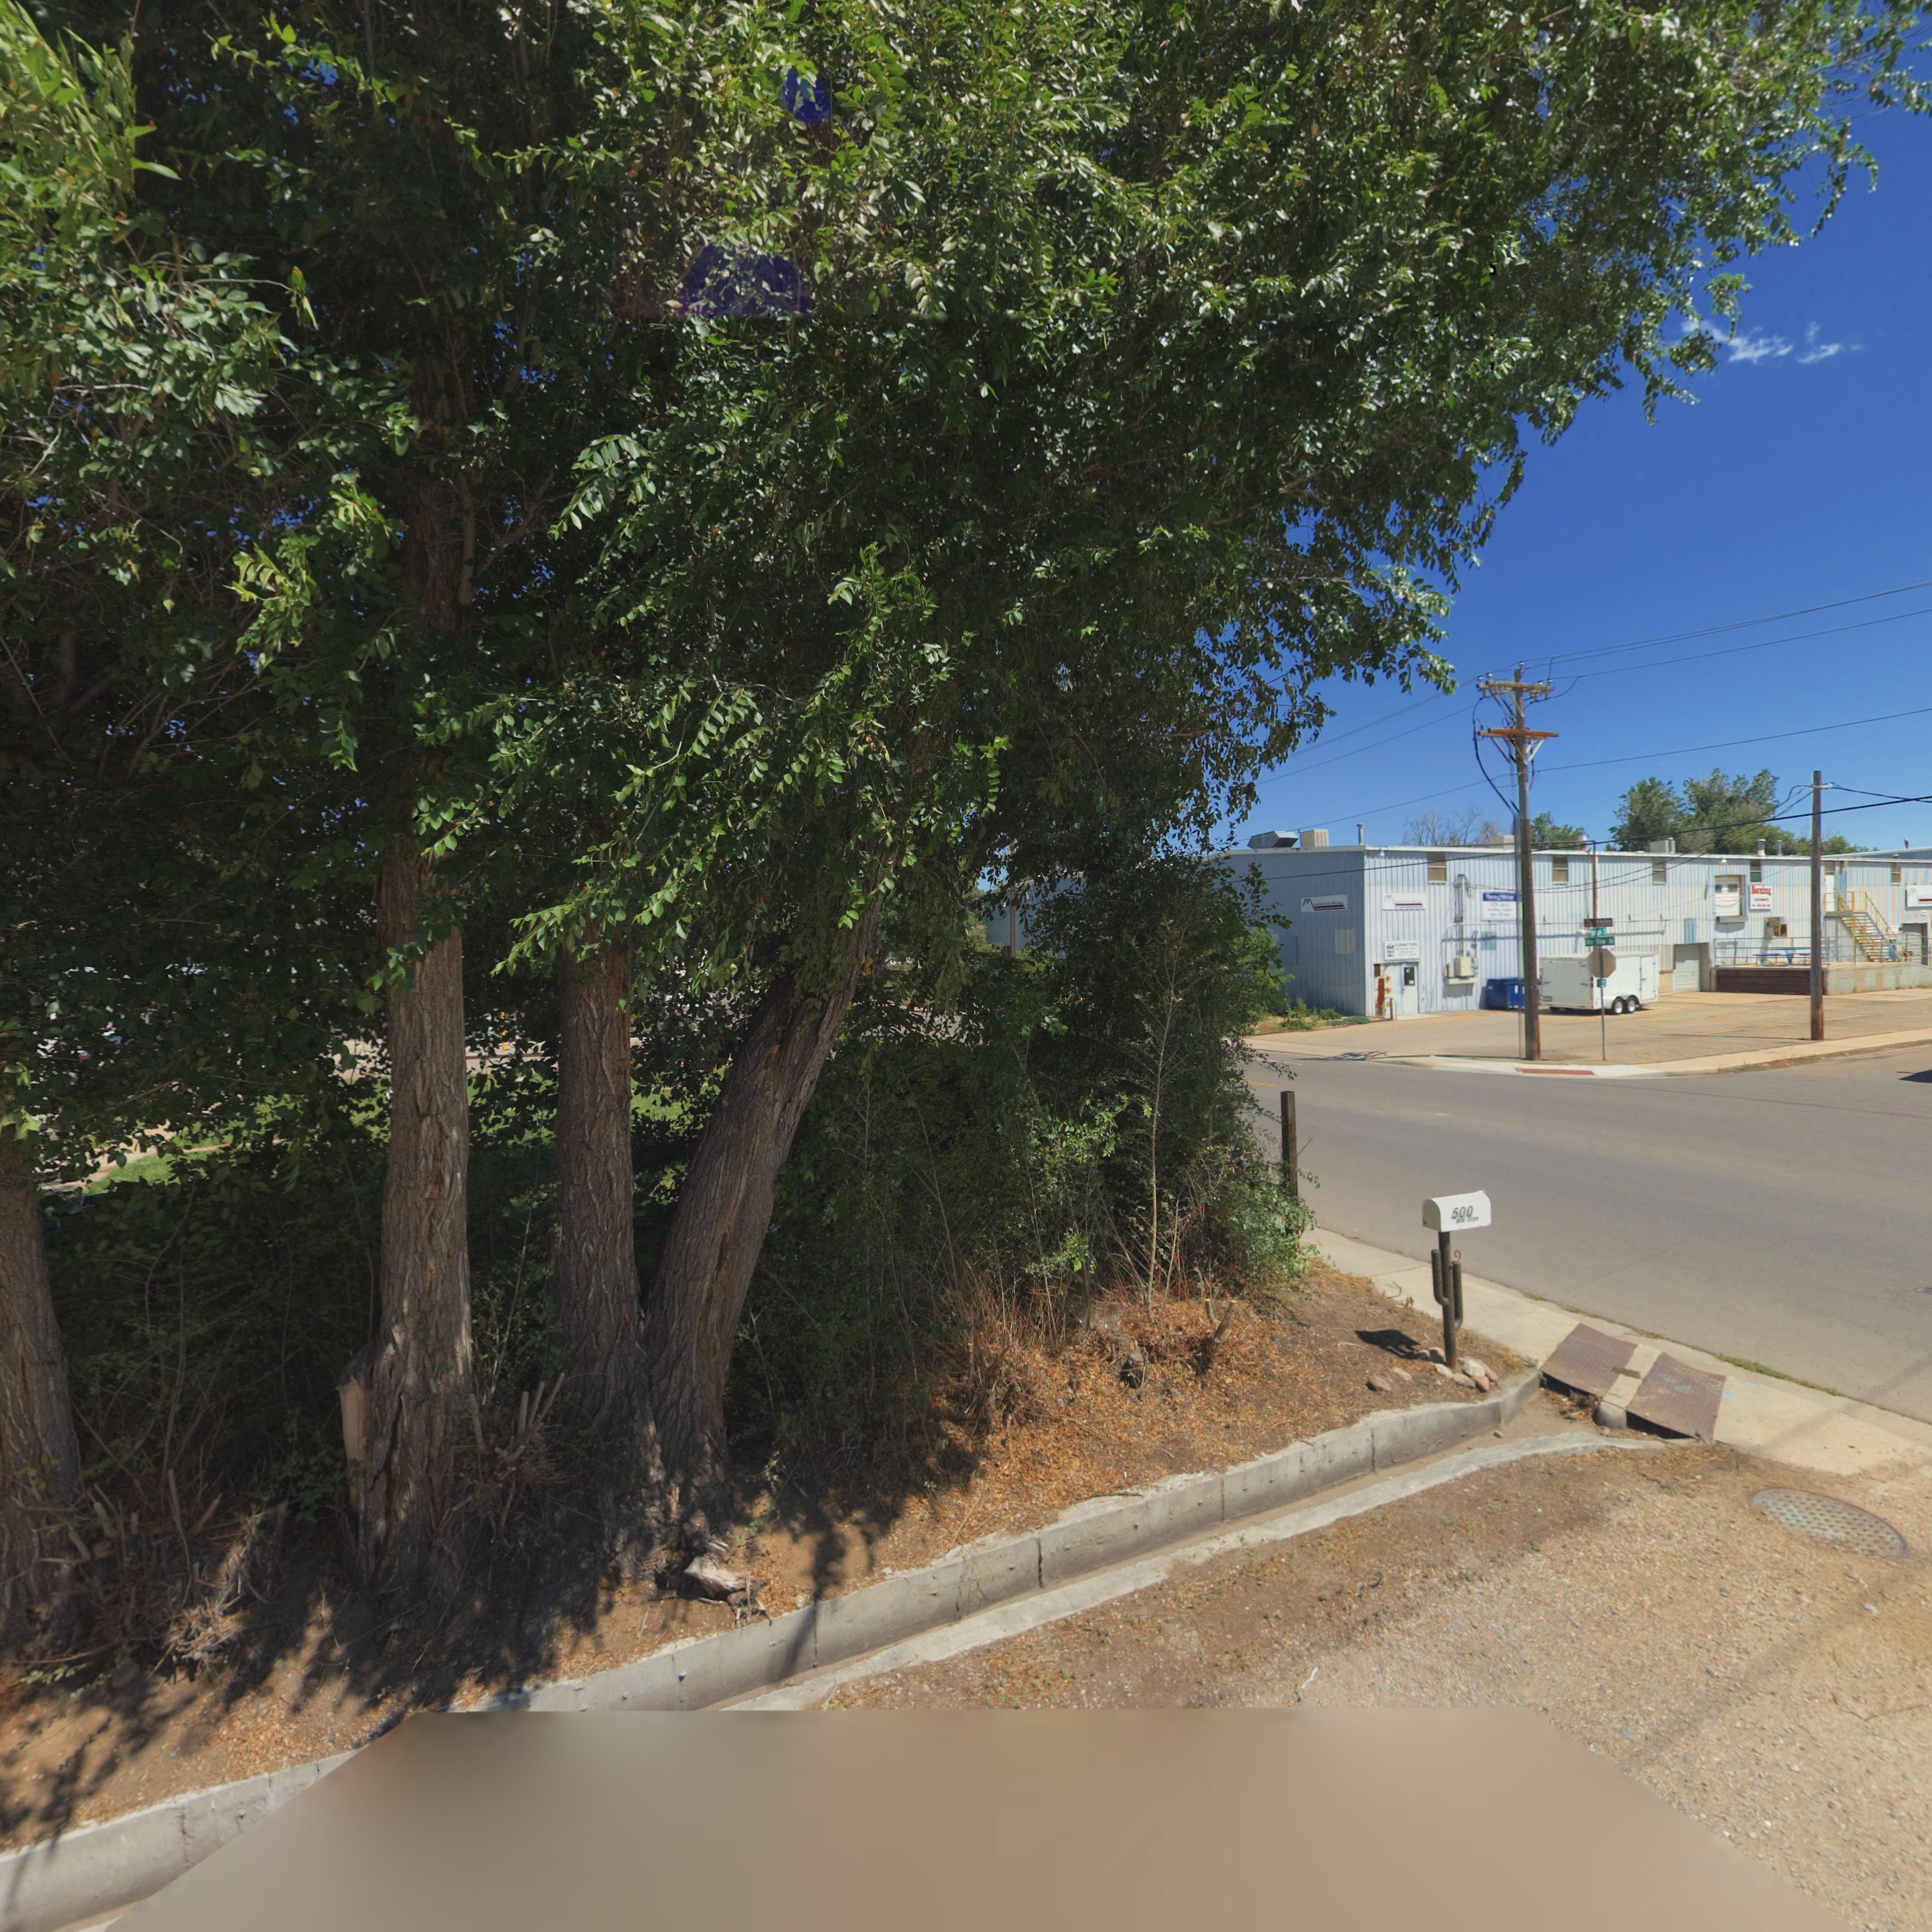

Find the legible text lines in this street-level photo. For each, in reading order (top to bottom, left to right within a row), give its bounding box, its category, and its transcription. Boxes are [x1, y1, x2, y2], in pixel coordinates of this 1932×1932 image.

[1590, 927, 1607, 936] StreetName: **** S*
[1586, 937, 1613, 945] StreetName: M** V*** A*
[1451, 1204, 1474, 1219] StreetNumber: 500